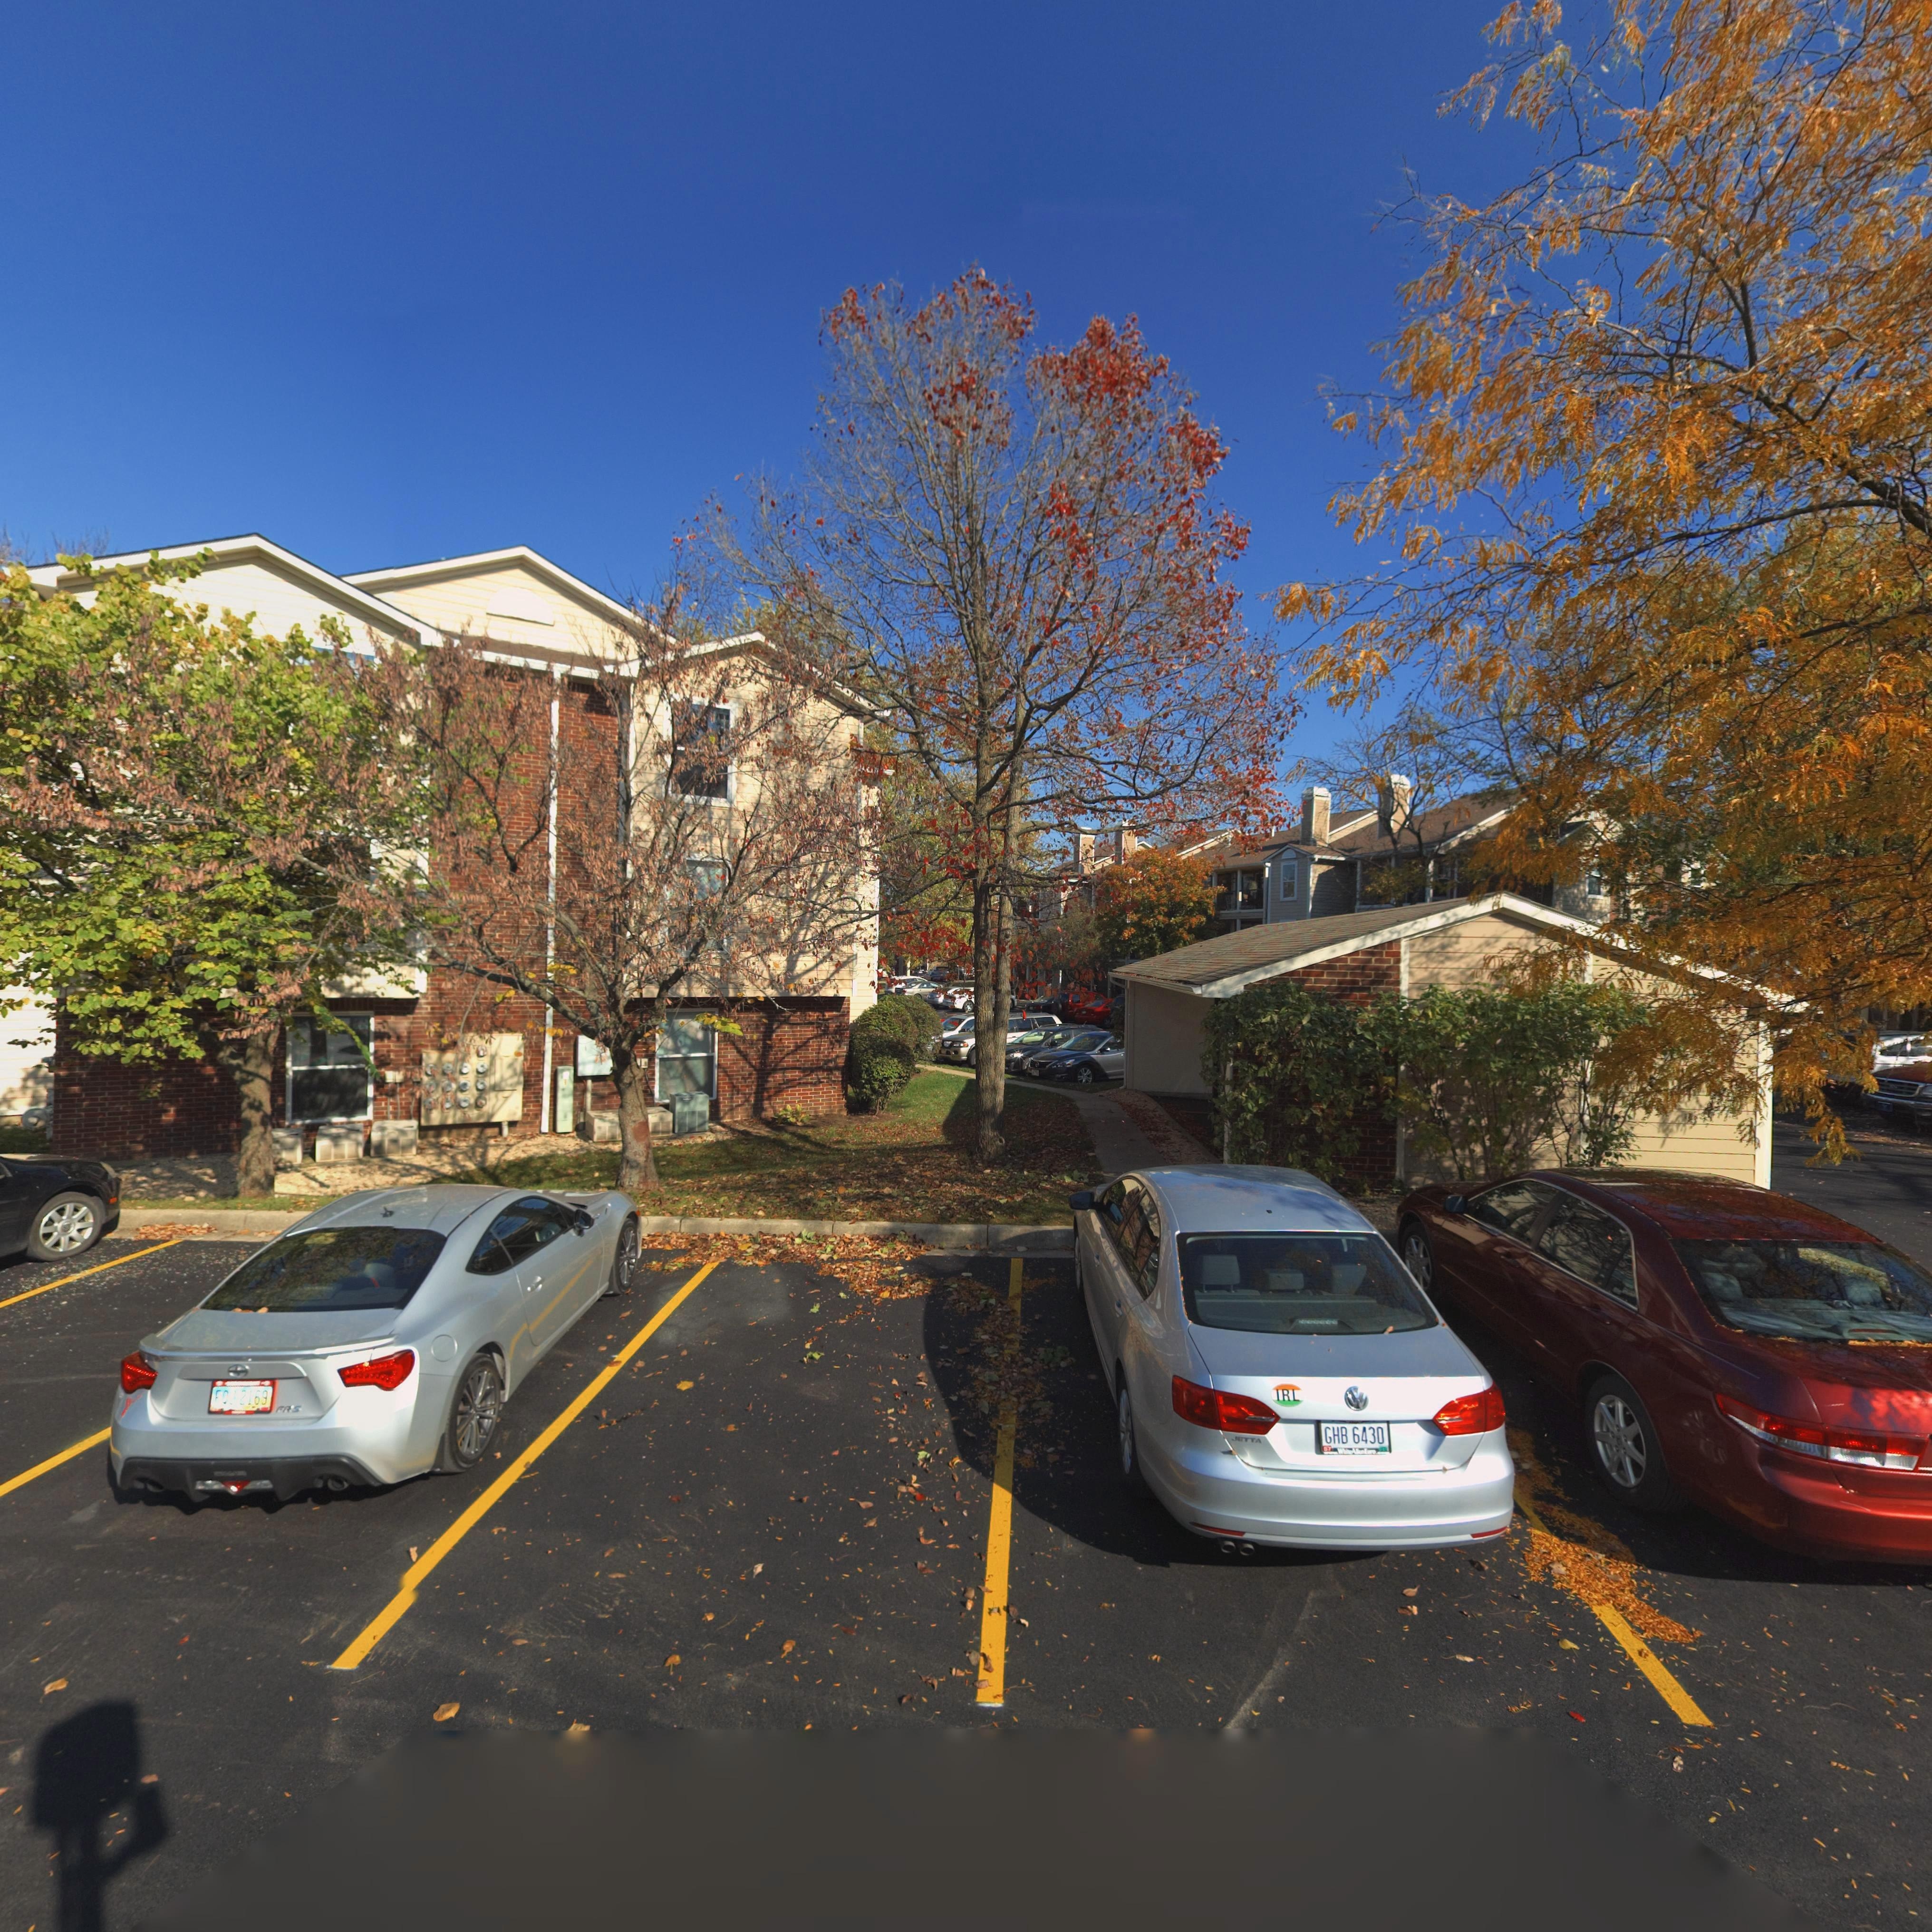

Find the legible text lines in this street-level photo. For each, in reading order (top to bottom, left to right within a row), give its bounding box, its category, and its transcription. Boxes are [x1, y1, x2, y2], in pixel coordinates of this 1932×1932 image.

[238, 1388, 269, 1407] None: 2169
[1275, 1388, 1301, 1402] None: IRL
[1231, 1435, 1264, 1444] None: J*TTA
[1323, 1425, 1386, 1446] None: GHB 6430